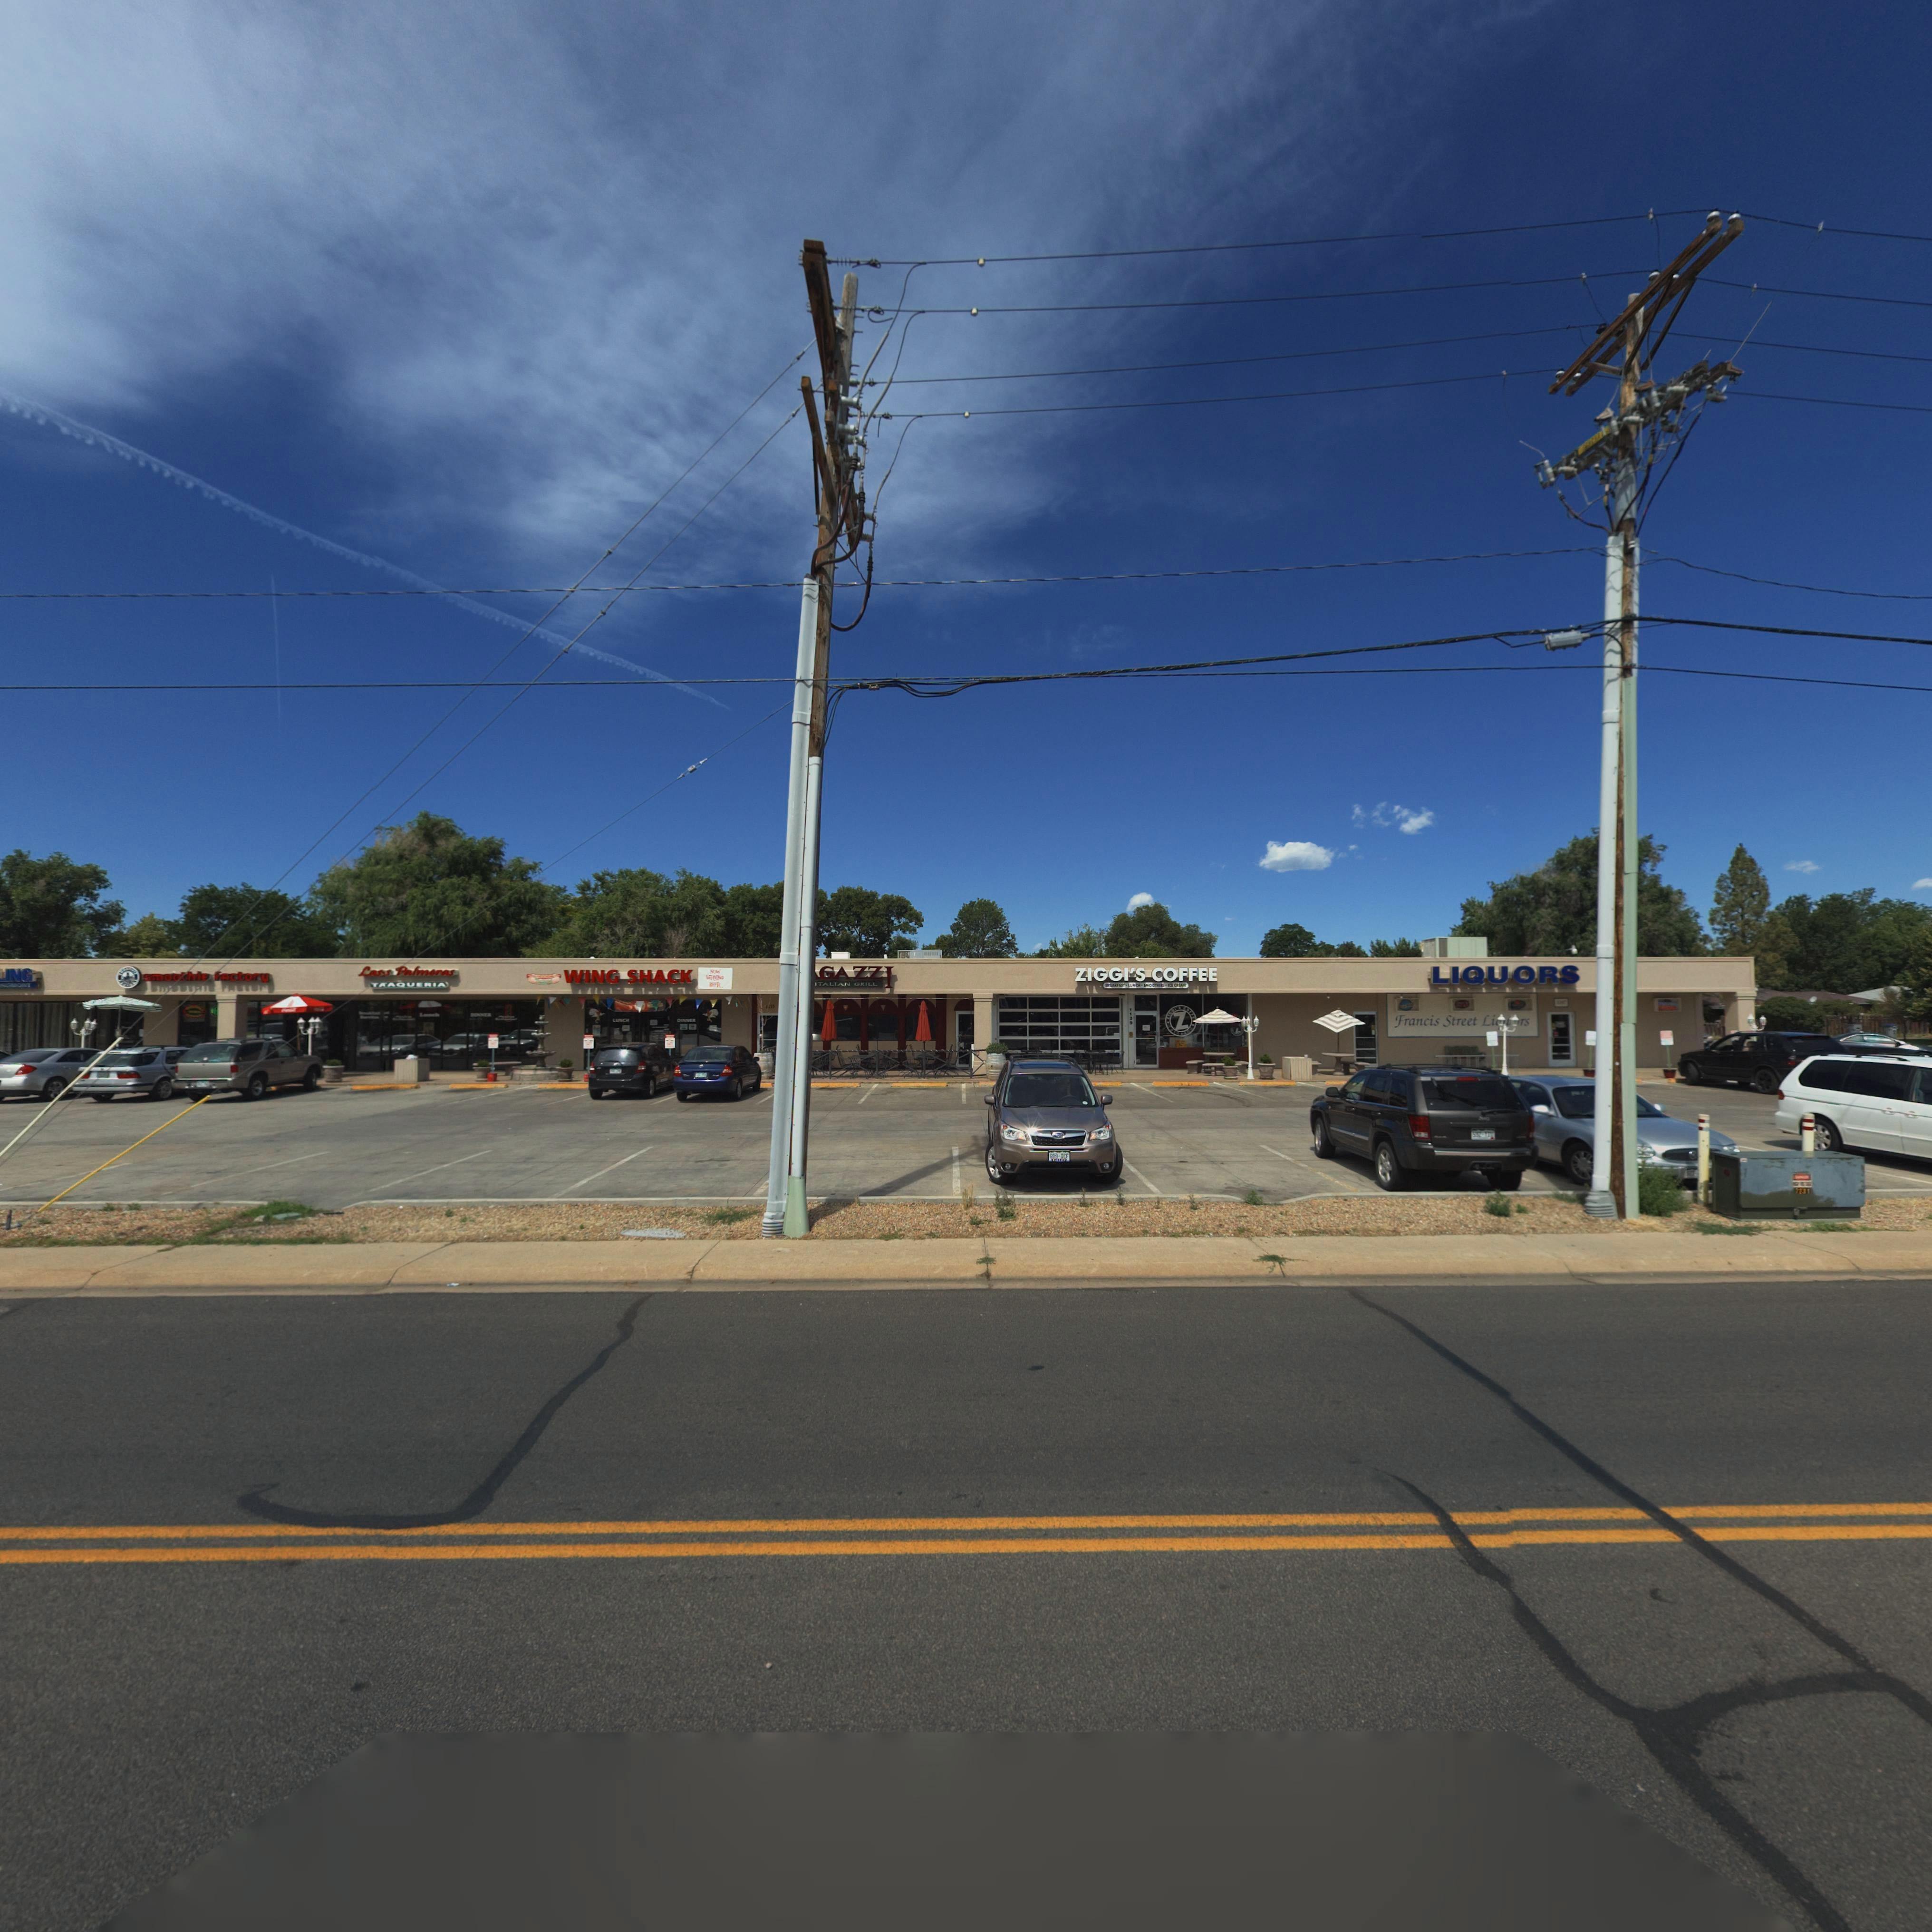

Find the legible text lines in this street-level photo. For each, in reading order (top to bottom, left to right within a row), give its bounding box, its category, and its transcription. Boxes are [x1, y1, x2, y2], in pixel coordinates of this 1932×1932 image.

[11, 983, 30, 987] BusinessName: *O*T
[142, 971, 270, 983] BusinessName: smoothie factory
[357, 965, 455, 976] BusinessName: Las Palmeras 
[370, 982, 446, 987] BusinessName: TAQUERIA
[563, 969, 694, 984] BusinessName: WING SHACK
[814, 981, 878, 986] BusinessName: ITALIAN GRILL
[818, 965, 895, 988] BusinessName: GAZZI
[1074, 966, 1218, 982] BusinessName: ZIGGI'S COFFEE
[1430, 965, 1581, 985] BusinessName: LIQUORS
[765, 1004, 775, 1008] StreetNumber: 1*33
[1129, 1007, 1132, 1024] StreetNumber: 1139
[1393, 1014, 1530, 1031] BusinessName: Francis Street Li***rs